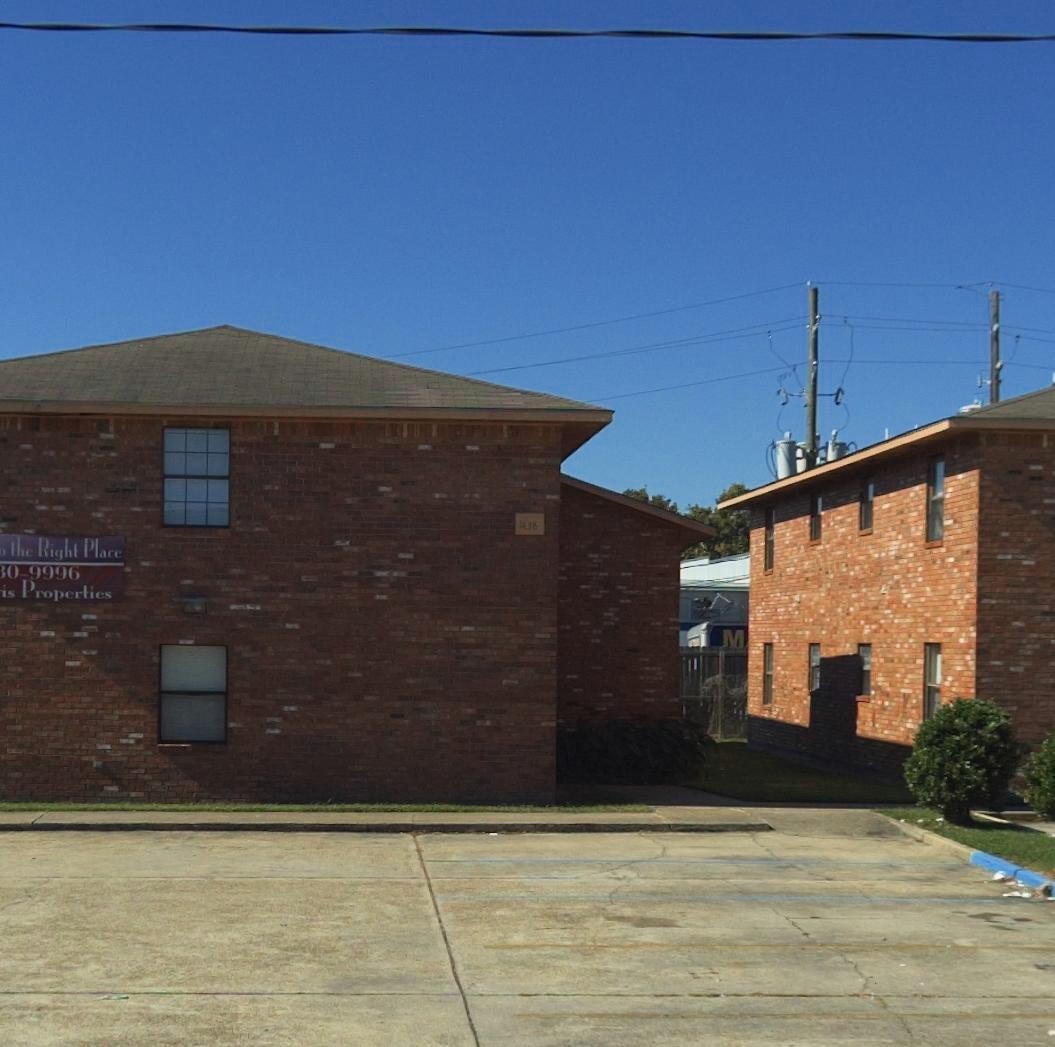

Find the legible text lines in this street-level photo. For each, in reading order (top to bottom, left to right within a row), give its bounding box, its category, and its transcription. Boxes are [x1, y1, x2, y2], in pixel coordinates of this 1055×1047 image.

[517, 519, 541, 533] StreetNumber: 1436
[7, 533, 125, 562] None: the Right Place
[4, 562, 83, 583] None: 0-9996
[0, 578, 115, 604] BusinessName: is Properties